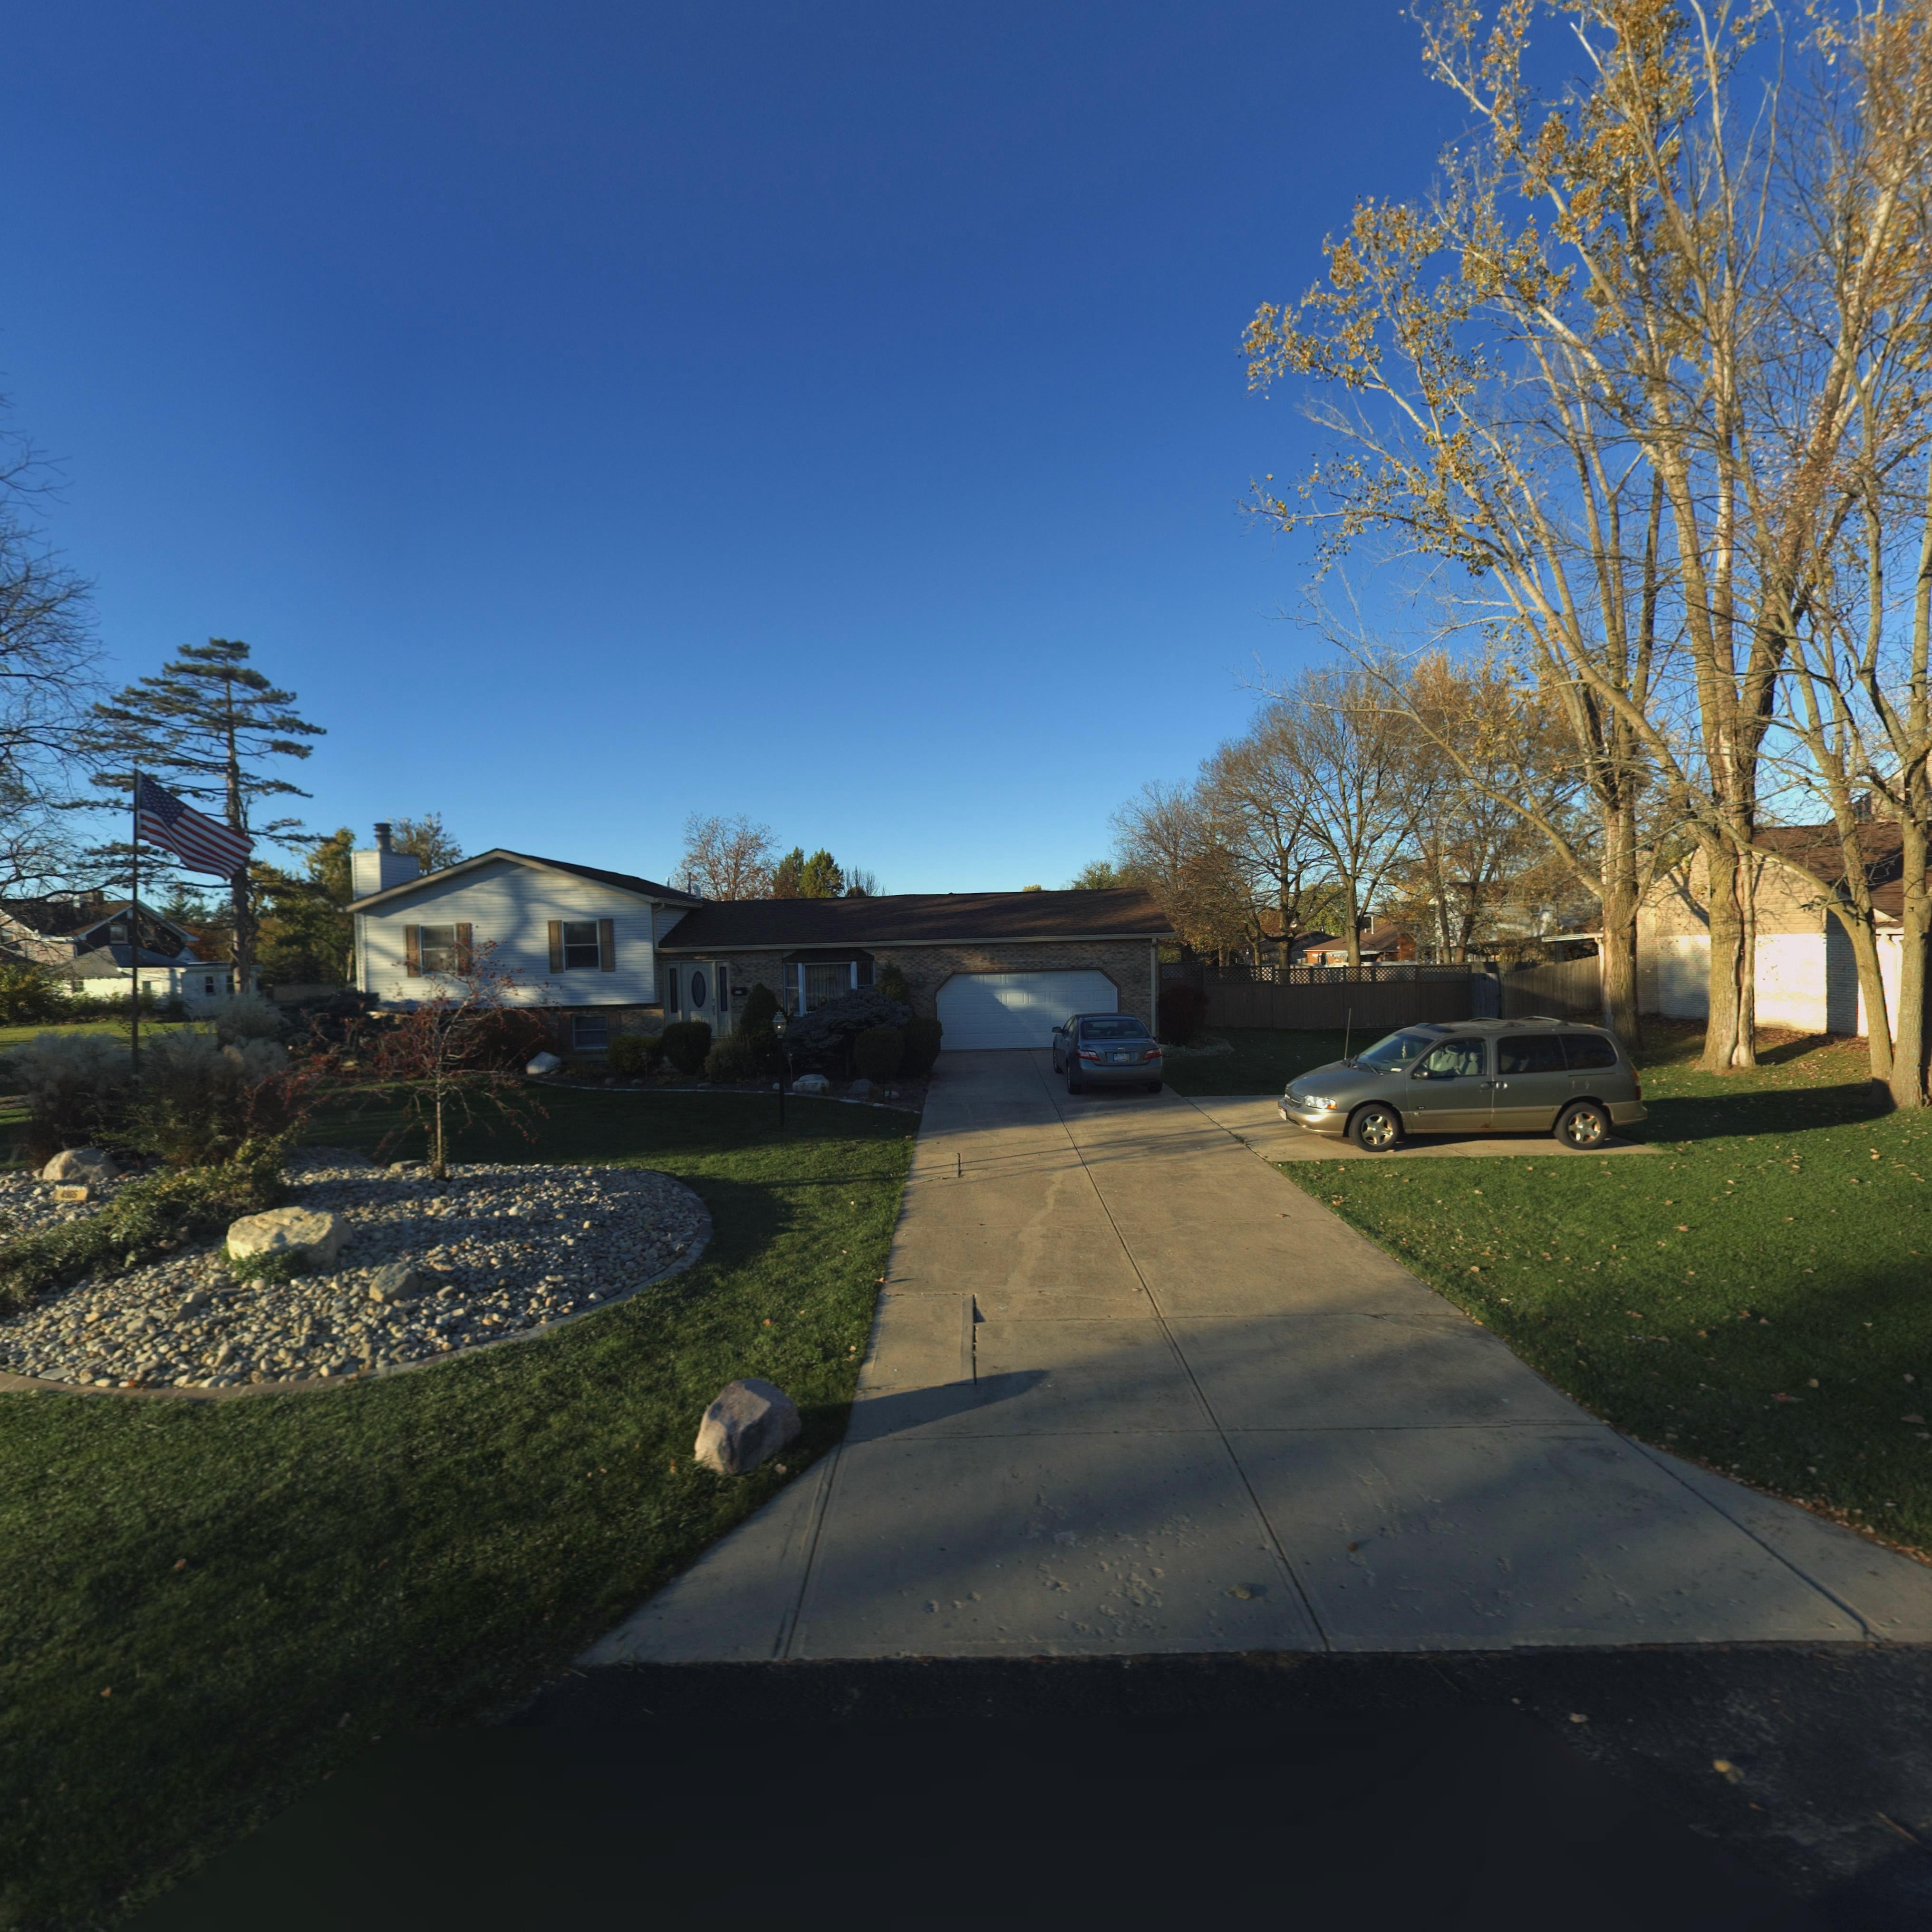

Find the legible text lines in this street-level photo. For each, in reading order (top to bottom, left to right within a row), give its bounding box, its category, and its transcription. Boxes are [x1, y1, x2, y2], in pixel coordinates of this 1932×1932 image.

[59, 1190, 79, 1199] StreetNumber: 4965